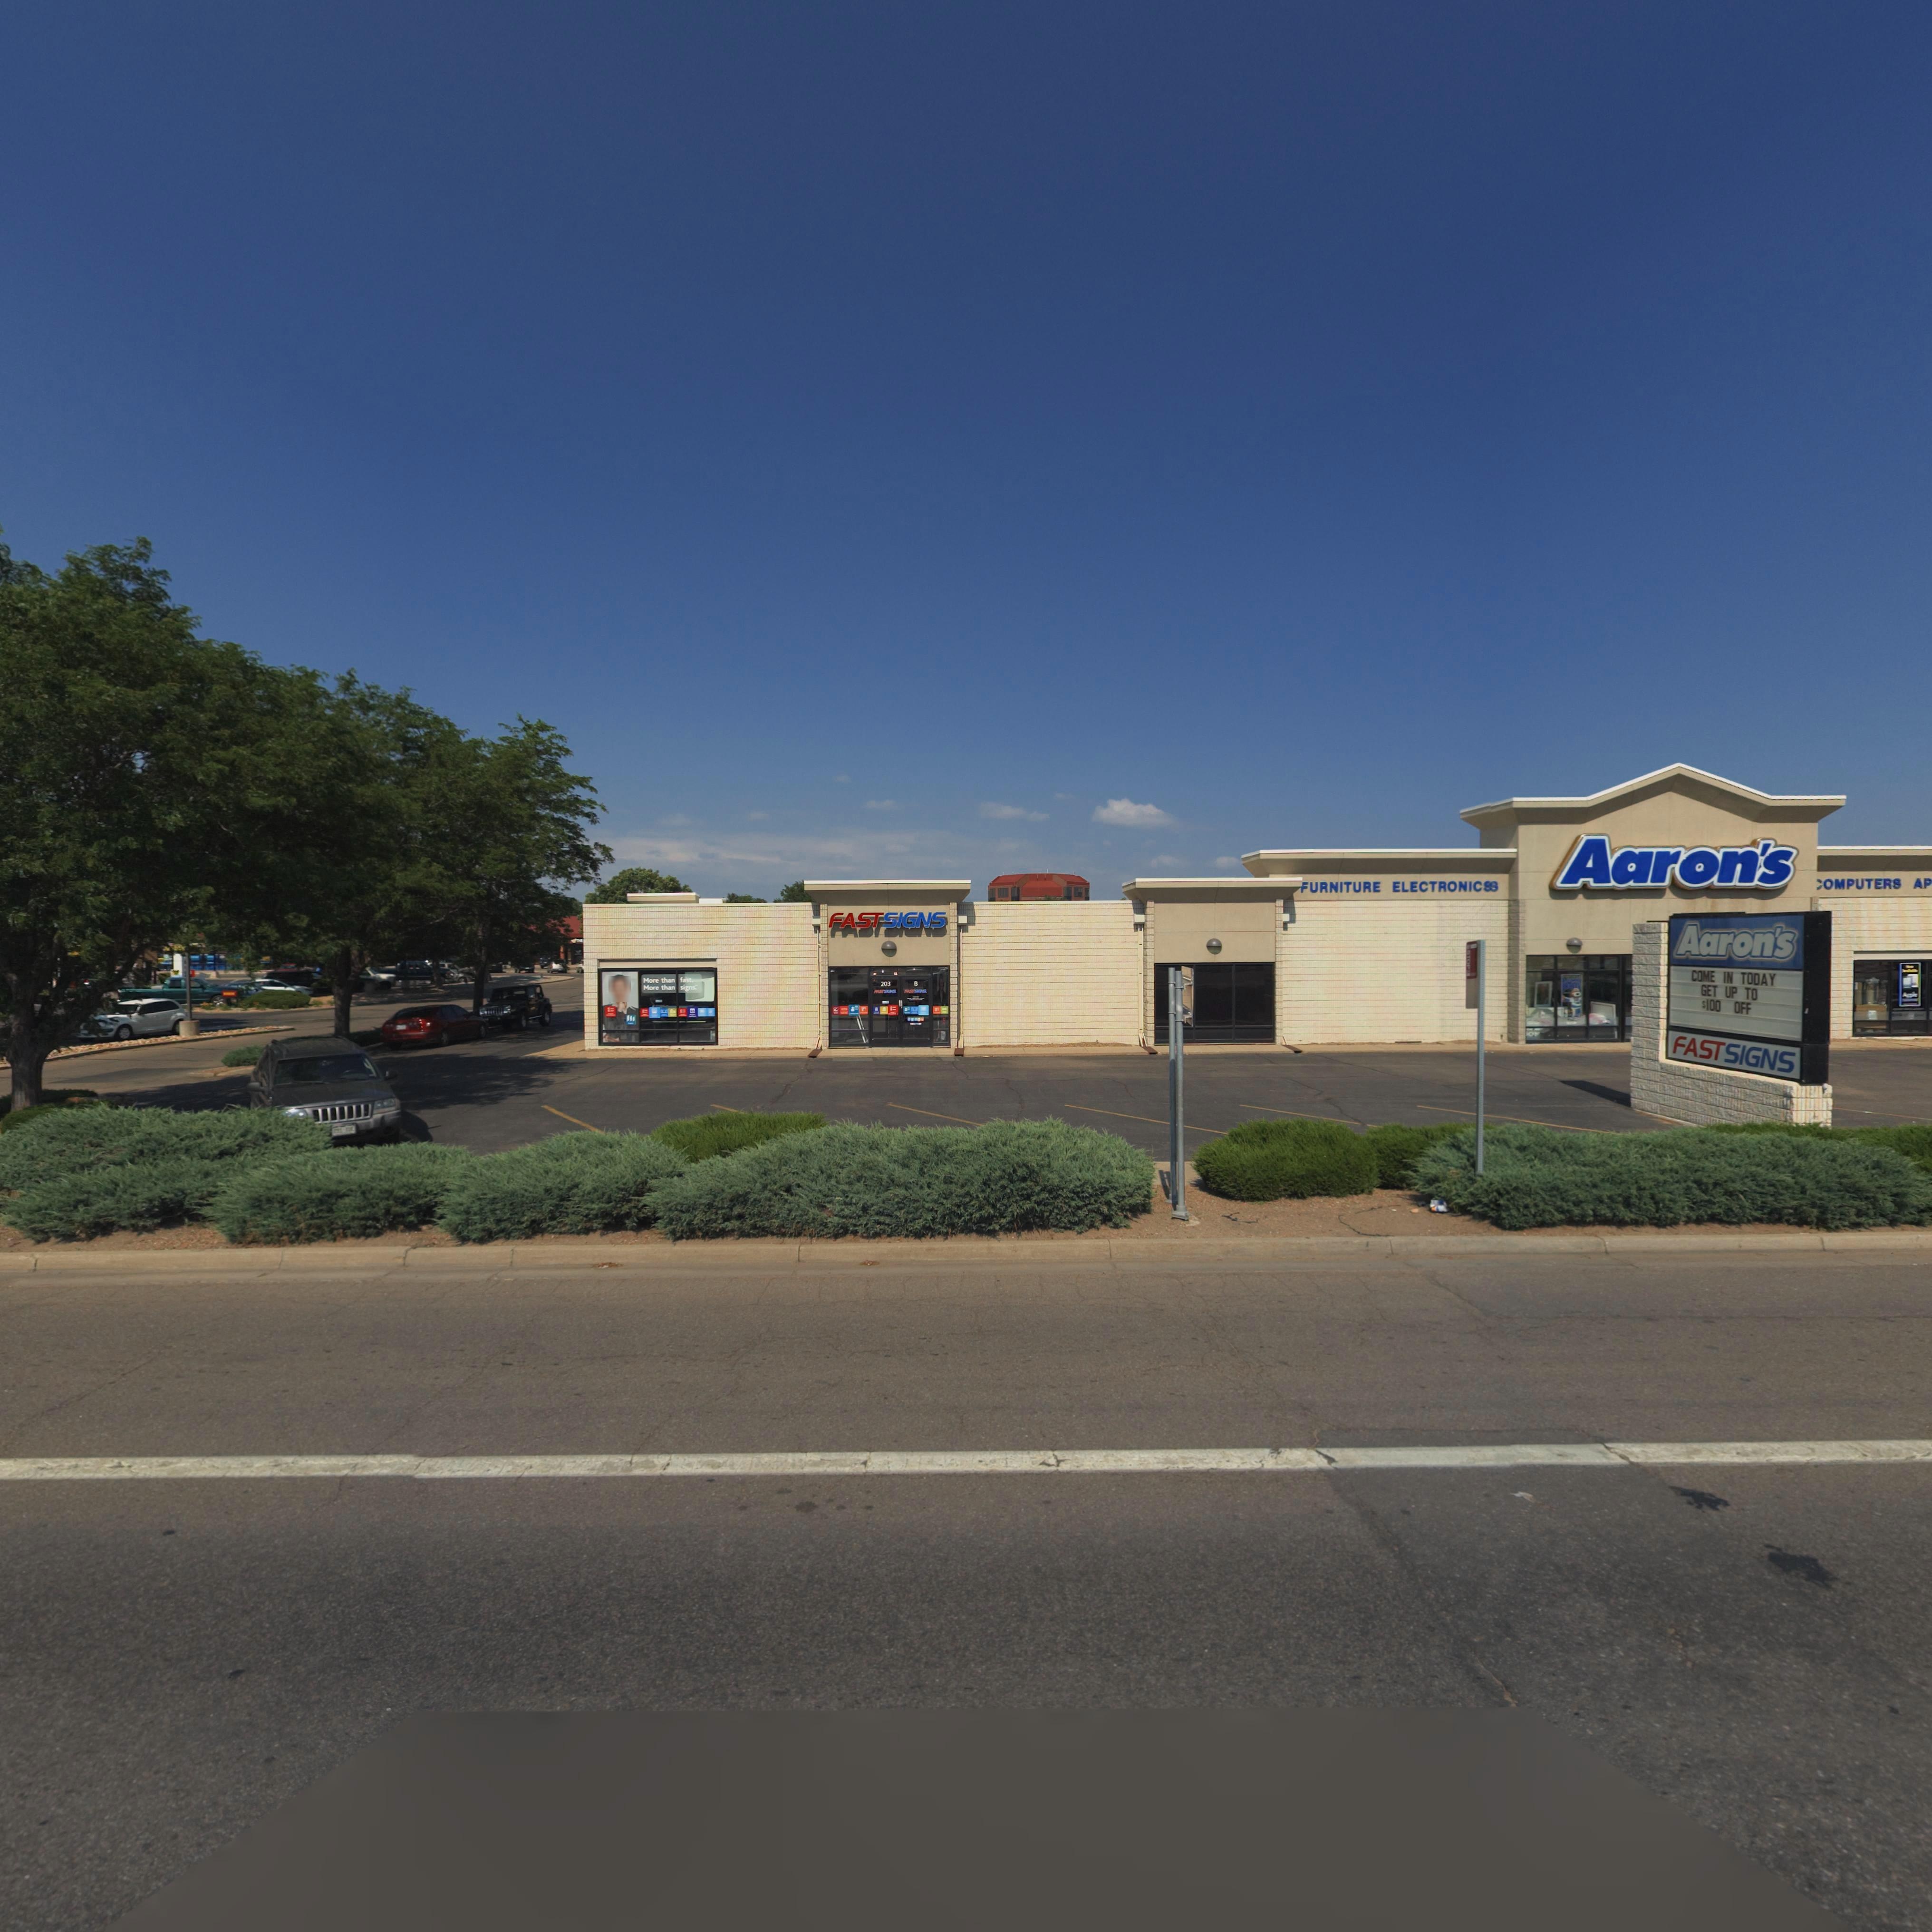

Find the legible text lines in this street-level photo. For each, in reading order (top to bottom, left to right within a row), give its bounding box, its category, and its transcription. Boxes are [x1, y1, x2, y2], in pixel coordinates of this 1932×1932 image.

[1548, 832, 1799, 890] BusinessName: Aaron's
[828, 911, 946, 928] BusinessName: FAST SIGNS
[1675, 922, 1797, 961] BusinessName: Aaron's
[873, 989, 896, 994] BusinessName: FAST SIGNS
[880, 981, 891, 986] StreetNumber: 203
[903, 988, 927, 994] BusinessName: FAST SIGNS
[914, 980, 918, 986] SecondaryUnitDesignator: B
[1672, 1035, 1796, 1073] BusinessName: FAST SIGNS